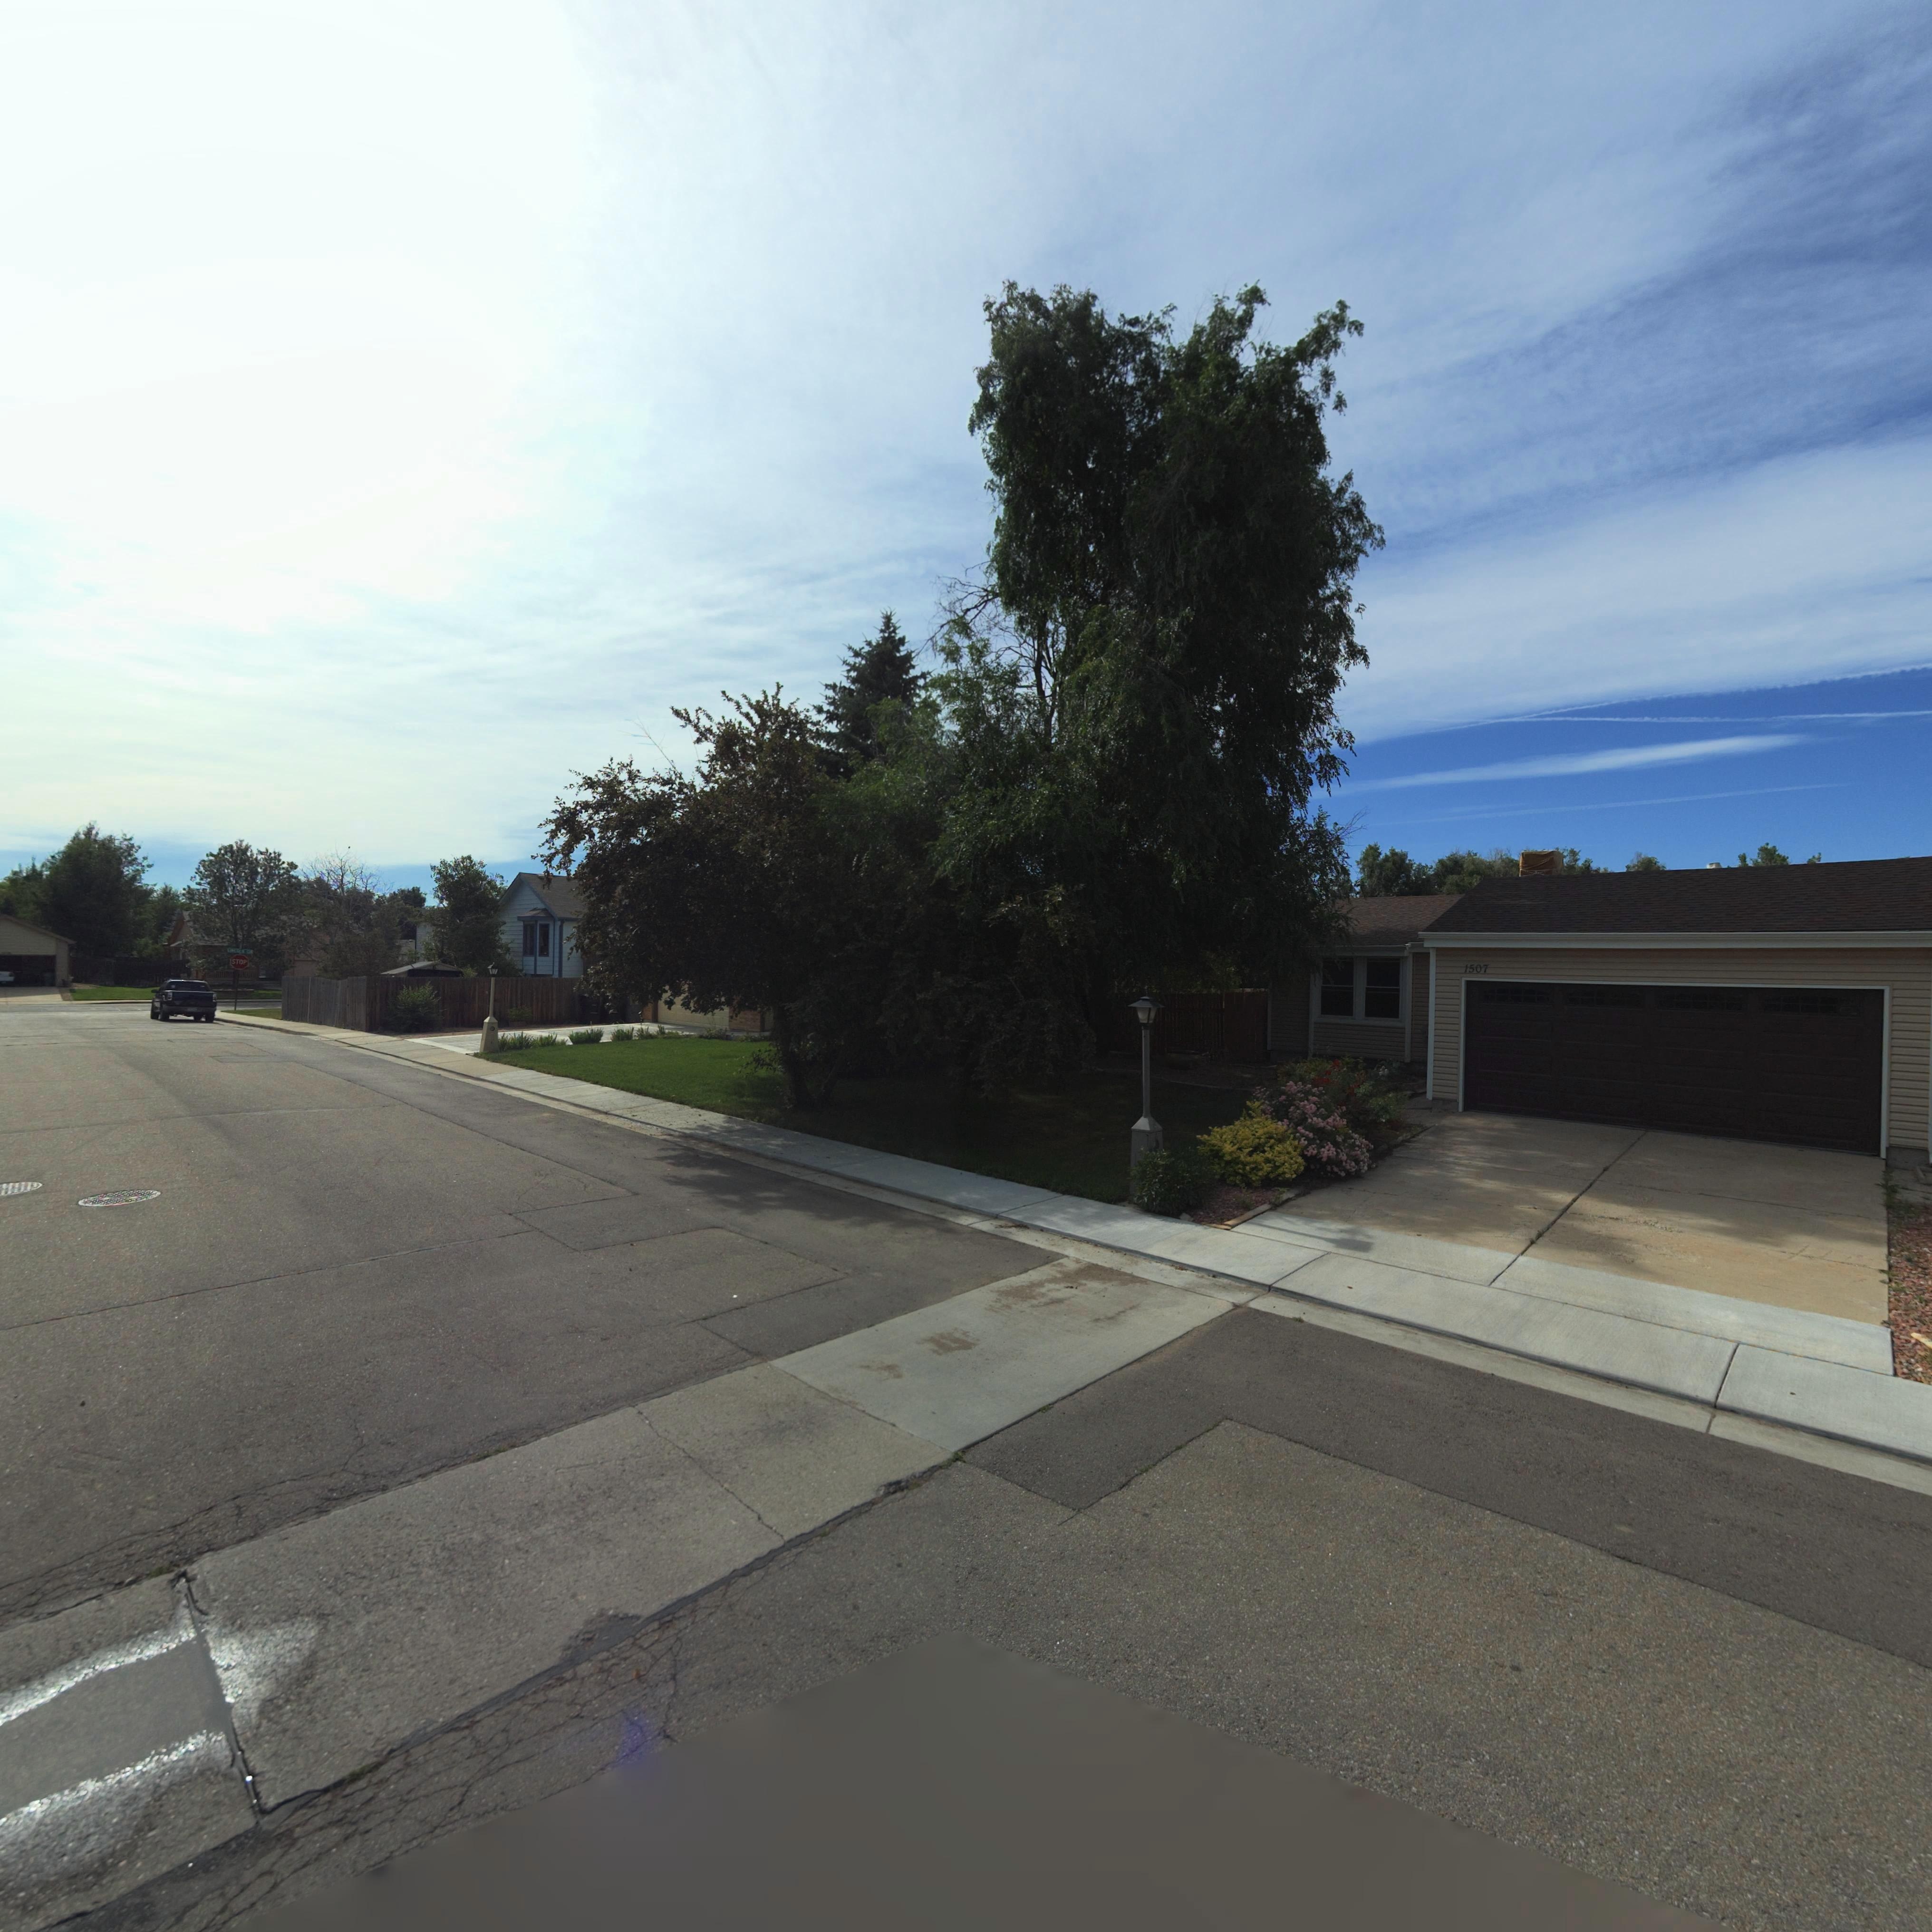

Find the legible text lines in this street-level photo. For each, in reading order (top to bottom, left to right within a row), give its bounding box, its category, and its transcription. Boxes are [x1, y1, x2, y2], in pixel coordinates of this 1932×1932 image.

[227, 948, 253, 954] StreetName: LI***** C**
[1463, 963, 1489, 973] StreetNumber: 1507